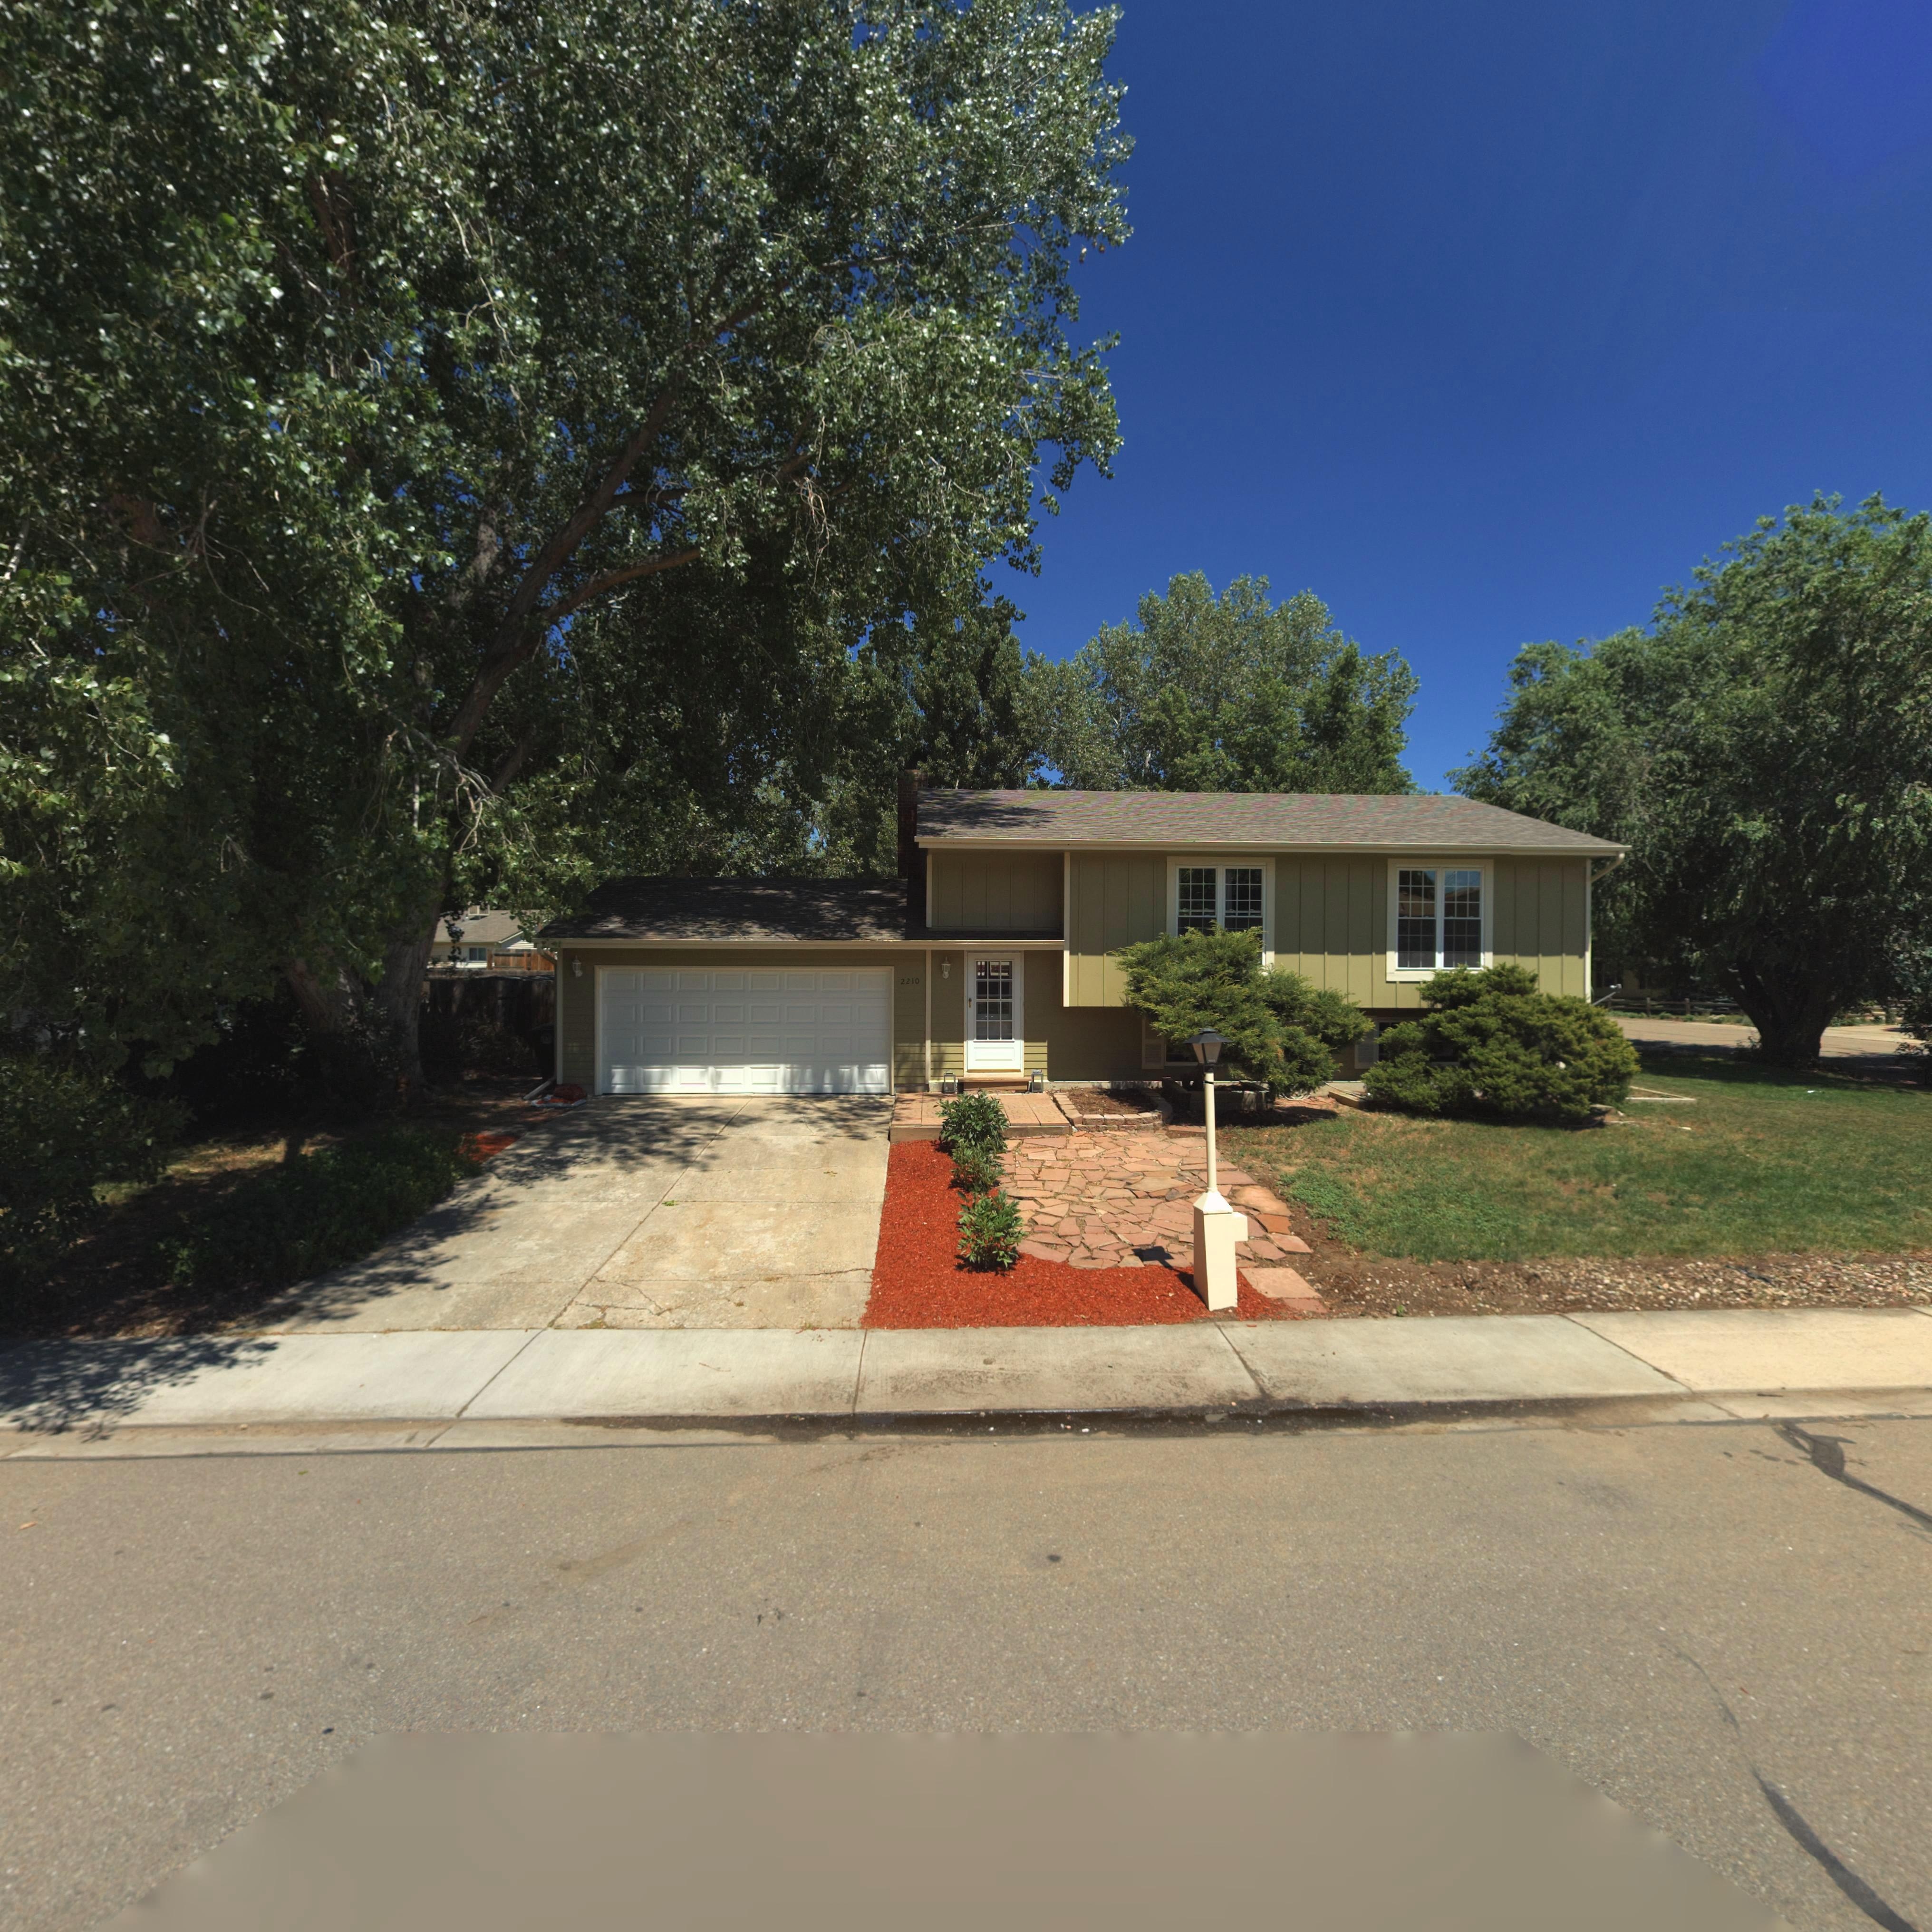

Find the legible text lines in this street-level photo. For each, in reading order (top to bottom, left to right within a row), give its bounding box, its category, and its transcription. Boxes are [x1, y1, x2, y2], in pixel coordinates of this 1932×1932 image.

[900, 977, 919, 984] StreetNumber: 2210